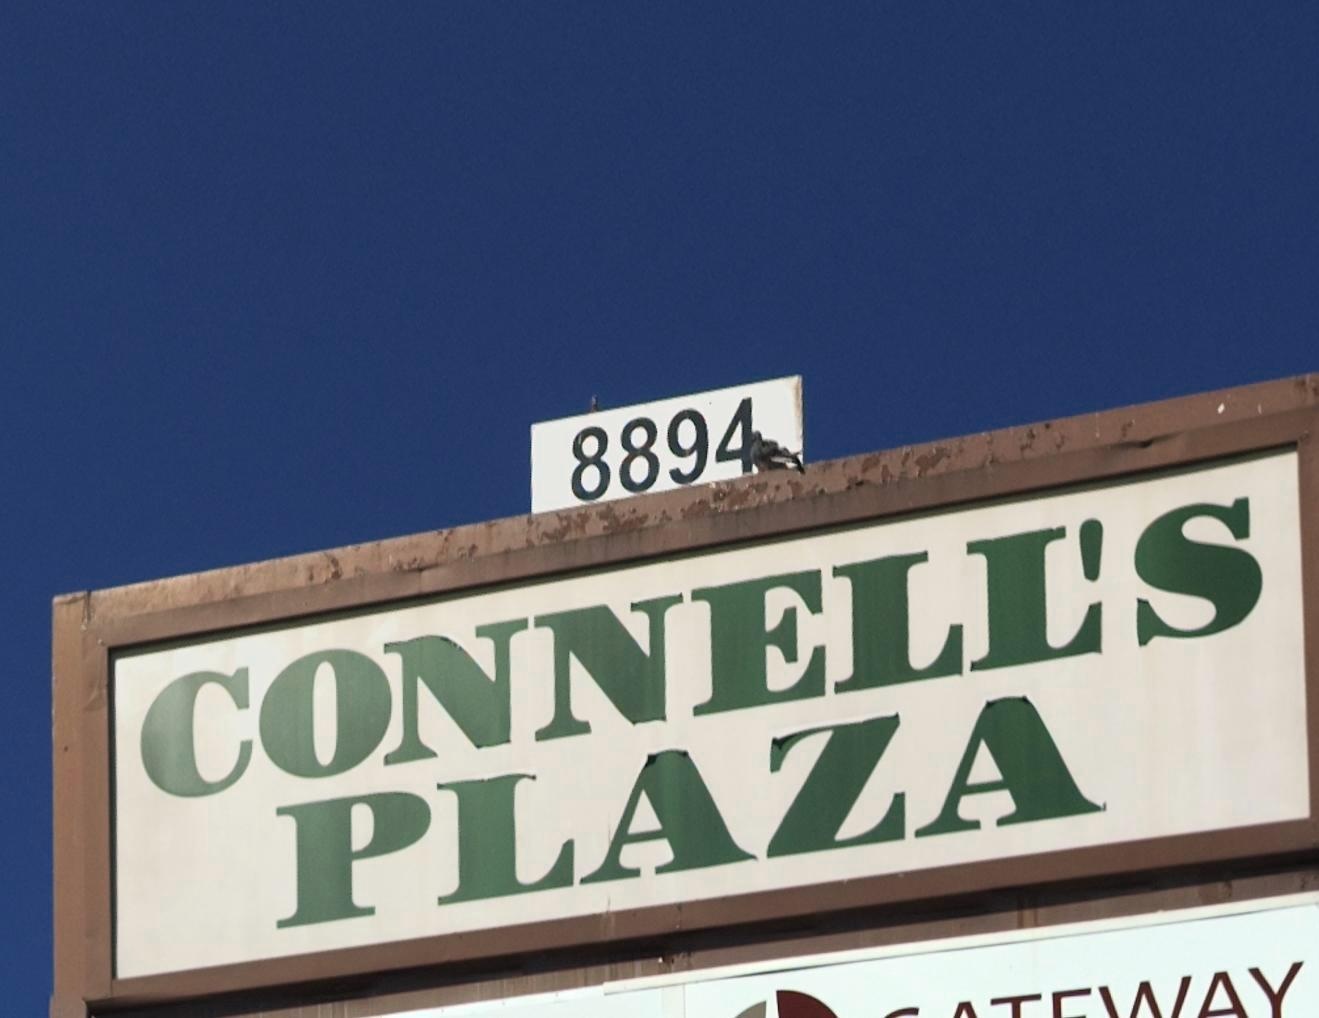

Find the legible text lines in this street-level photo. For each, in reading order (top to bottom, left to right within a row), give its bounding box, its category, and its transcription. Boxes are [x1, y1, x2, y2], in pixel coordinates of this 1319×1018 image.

[568, 393, 767, 509] StreetNumber: 8894
[131, 485, 1269, 804] BusinessName: CONNELL'S
[268, 688, 1122, 940] BusinessName: PLAZA